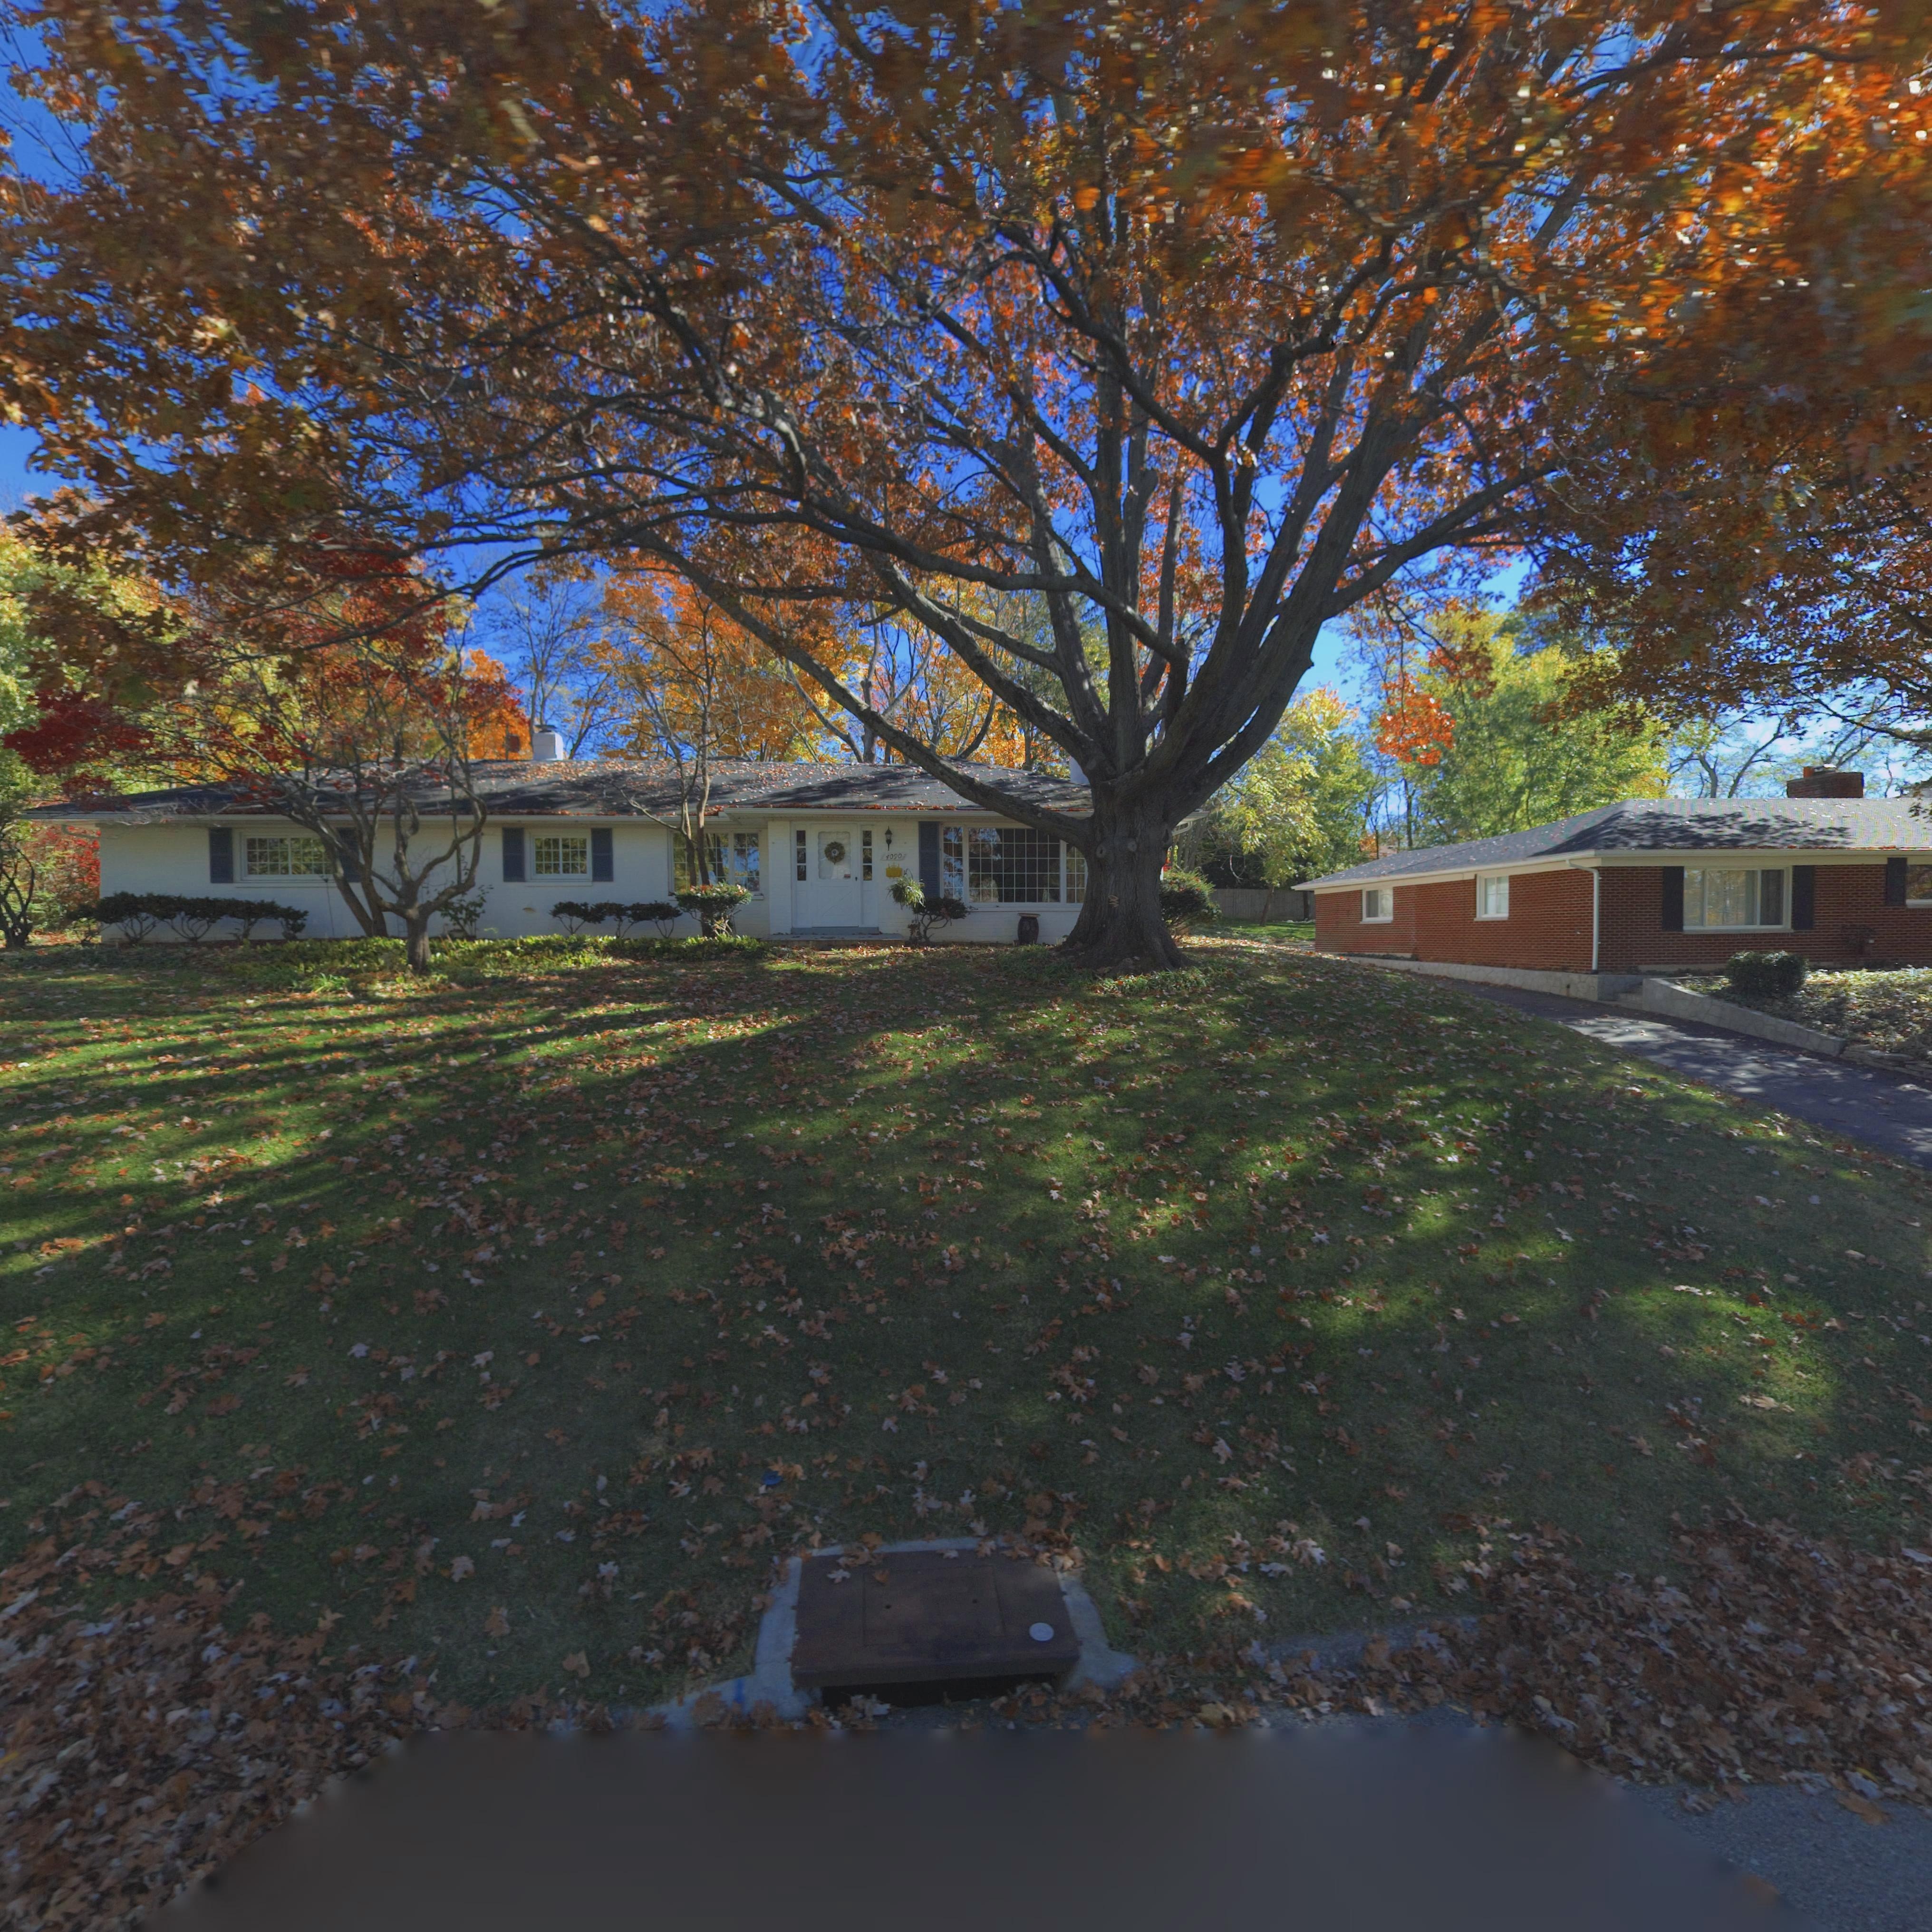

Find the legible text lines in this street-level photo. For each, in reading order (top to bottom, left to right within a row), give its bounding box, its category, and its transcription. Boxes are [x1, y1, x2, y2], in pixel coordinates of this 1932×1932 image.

[885, 853, 903, 860] StreetNumber: 4090